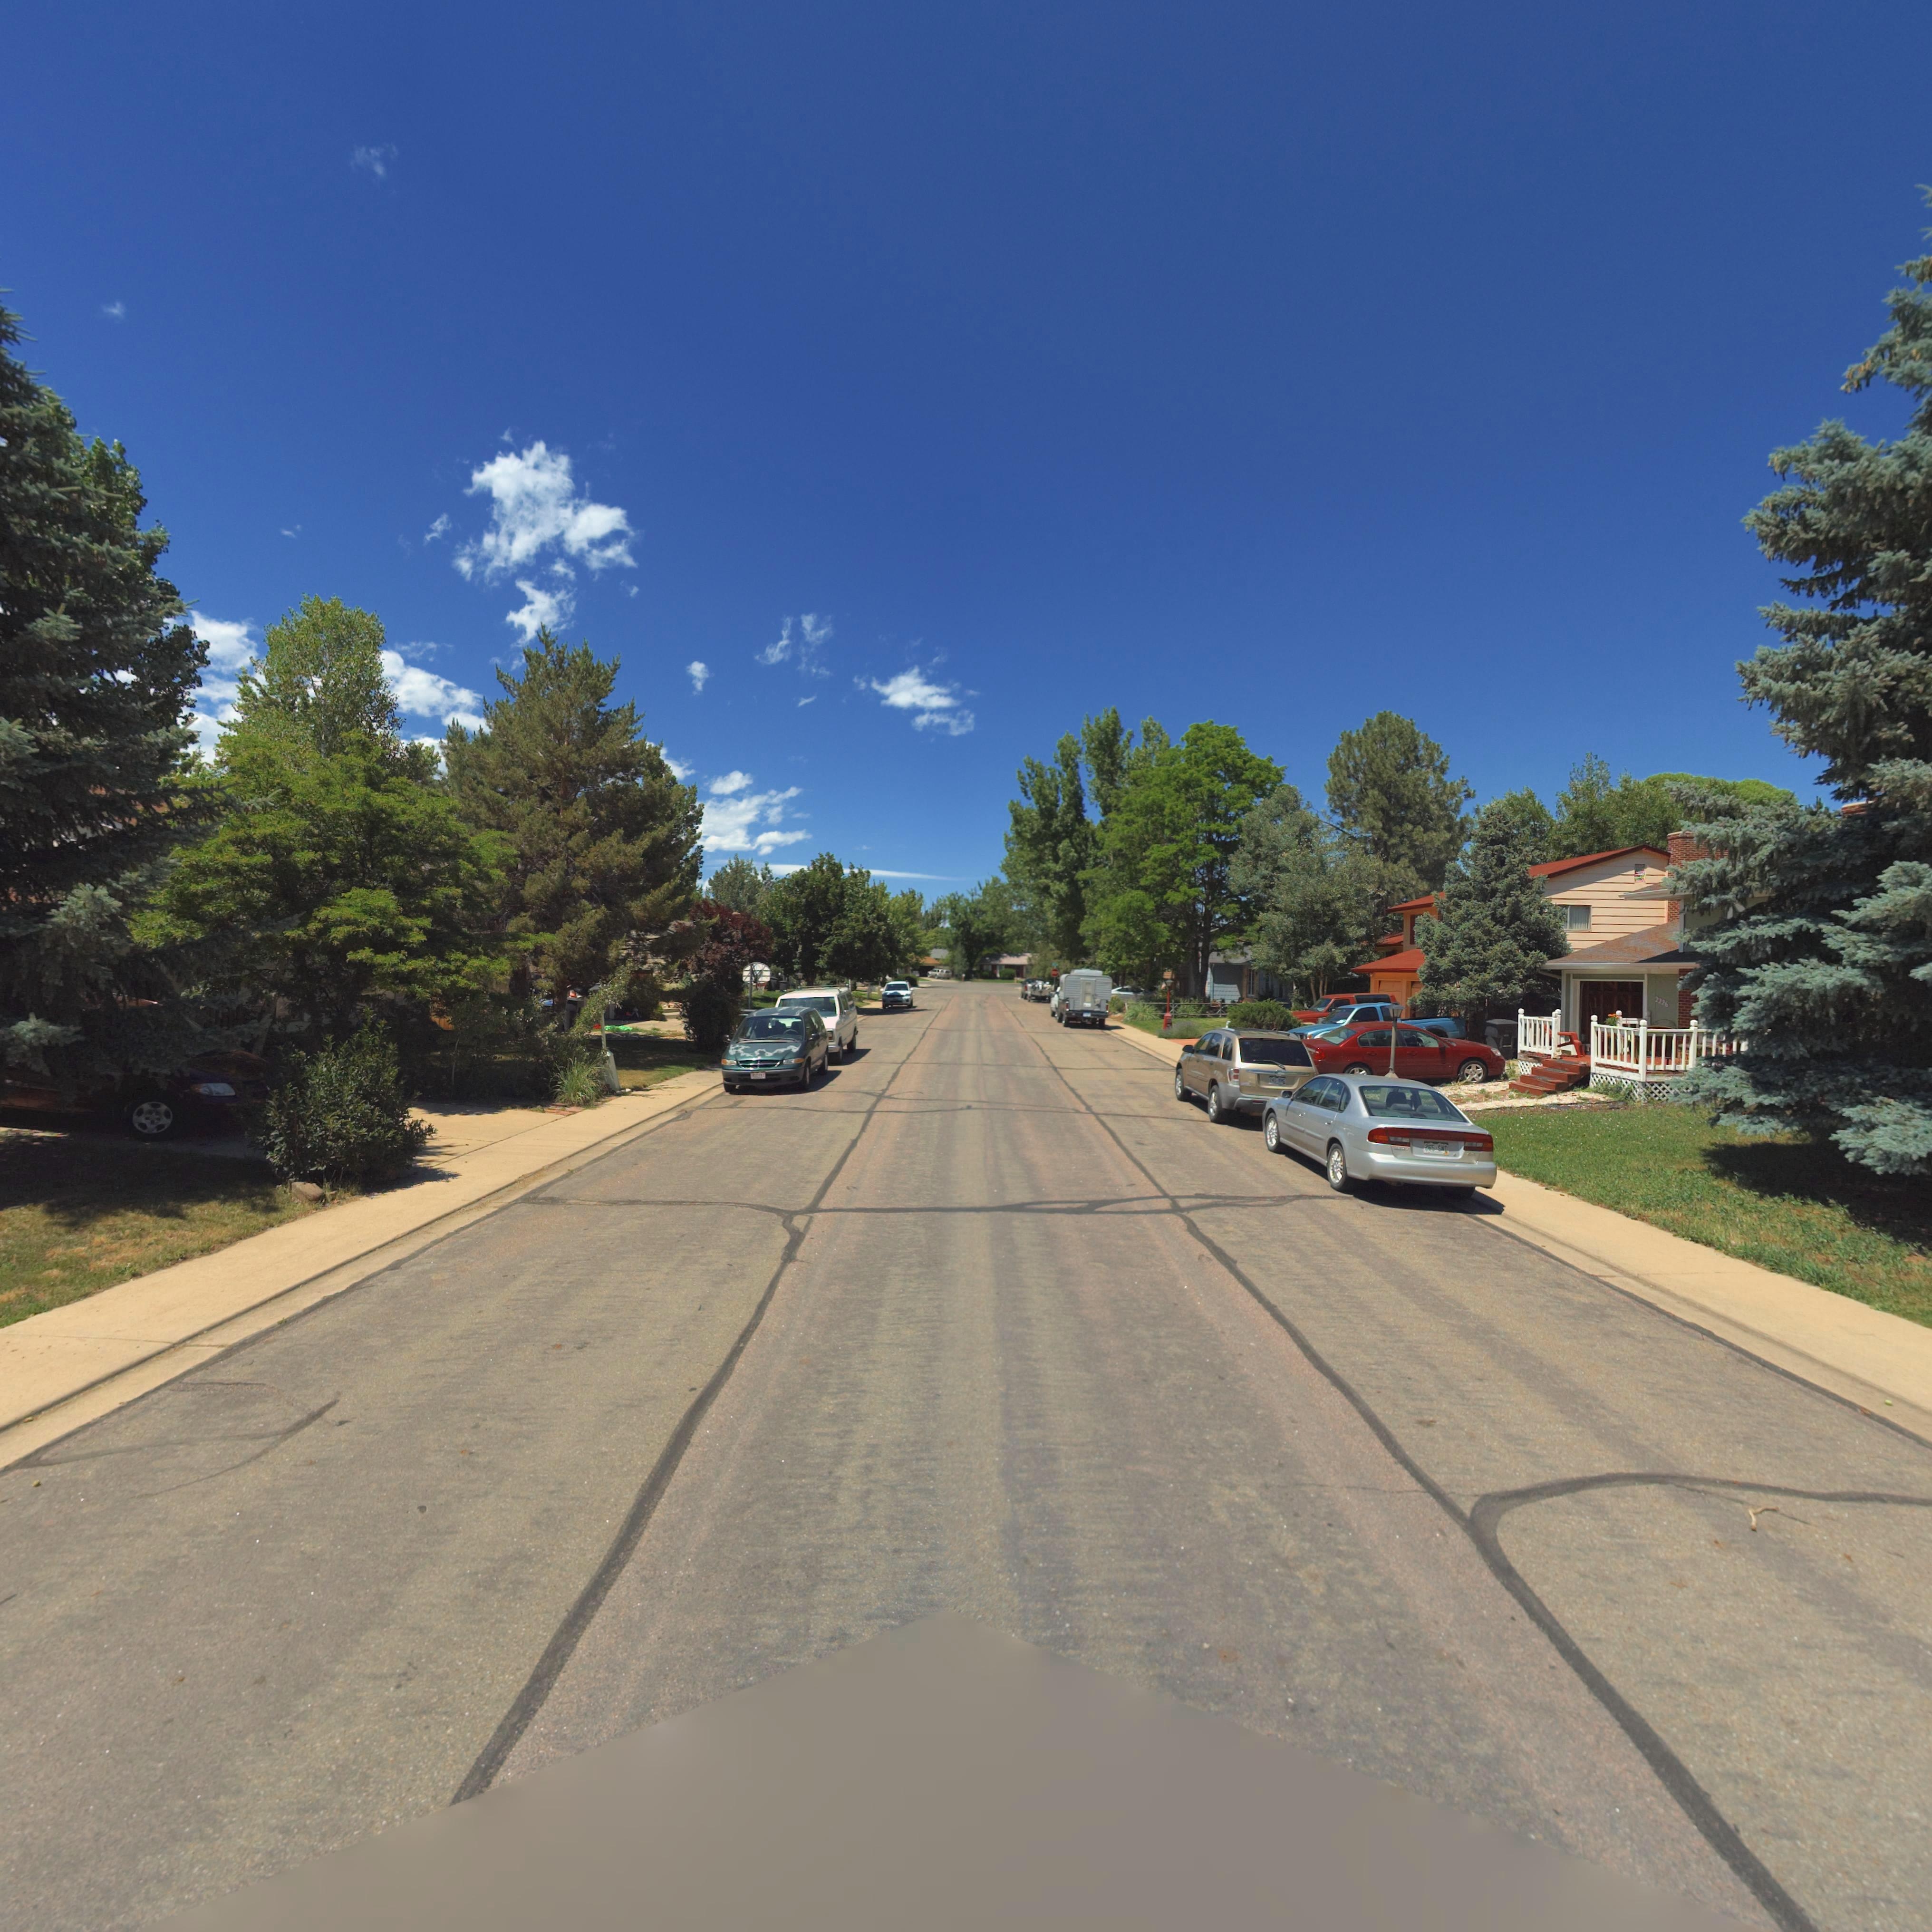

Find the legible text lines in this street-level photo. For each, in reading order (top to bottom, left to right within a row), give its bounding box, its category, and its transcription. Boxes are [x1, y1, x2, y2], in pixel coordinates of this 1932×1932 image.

[1654, 995, 1671, 1009] StreetNumber: 2226